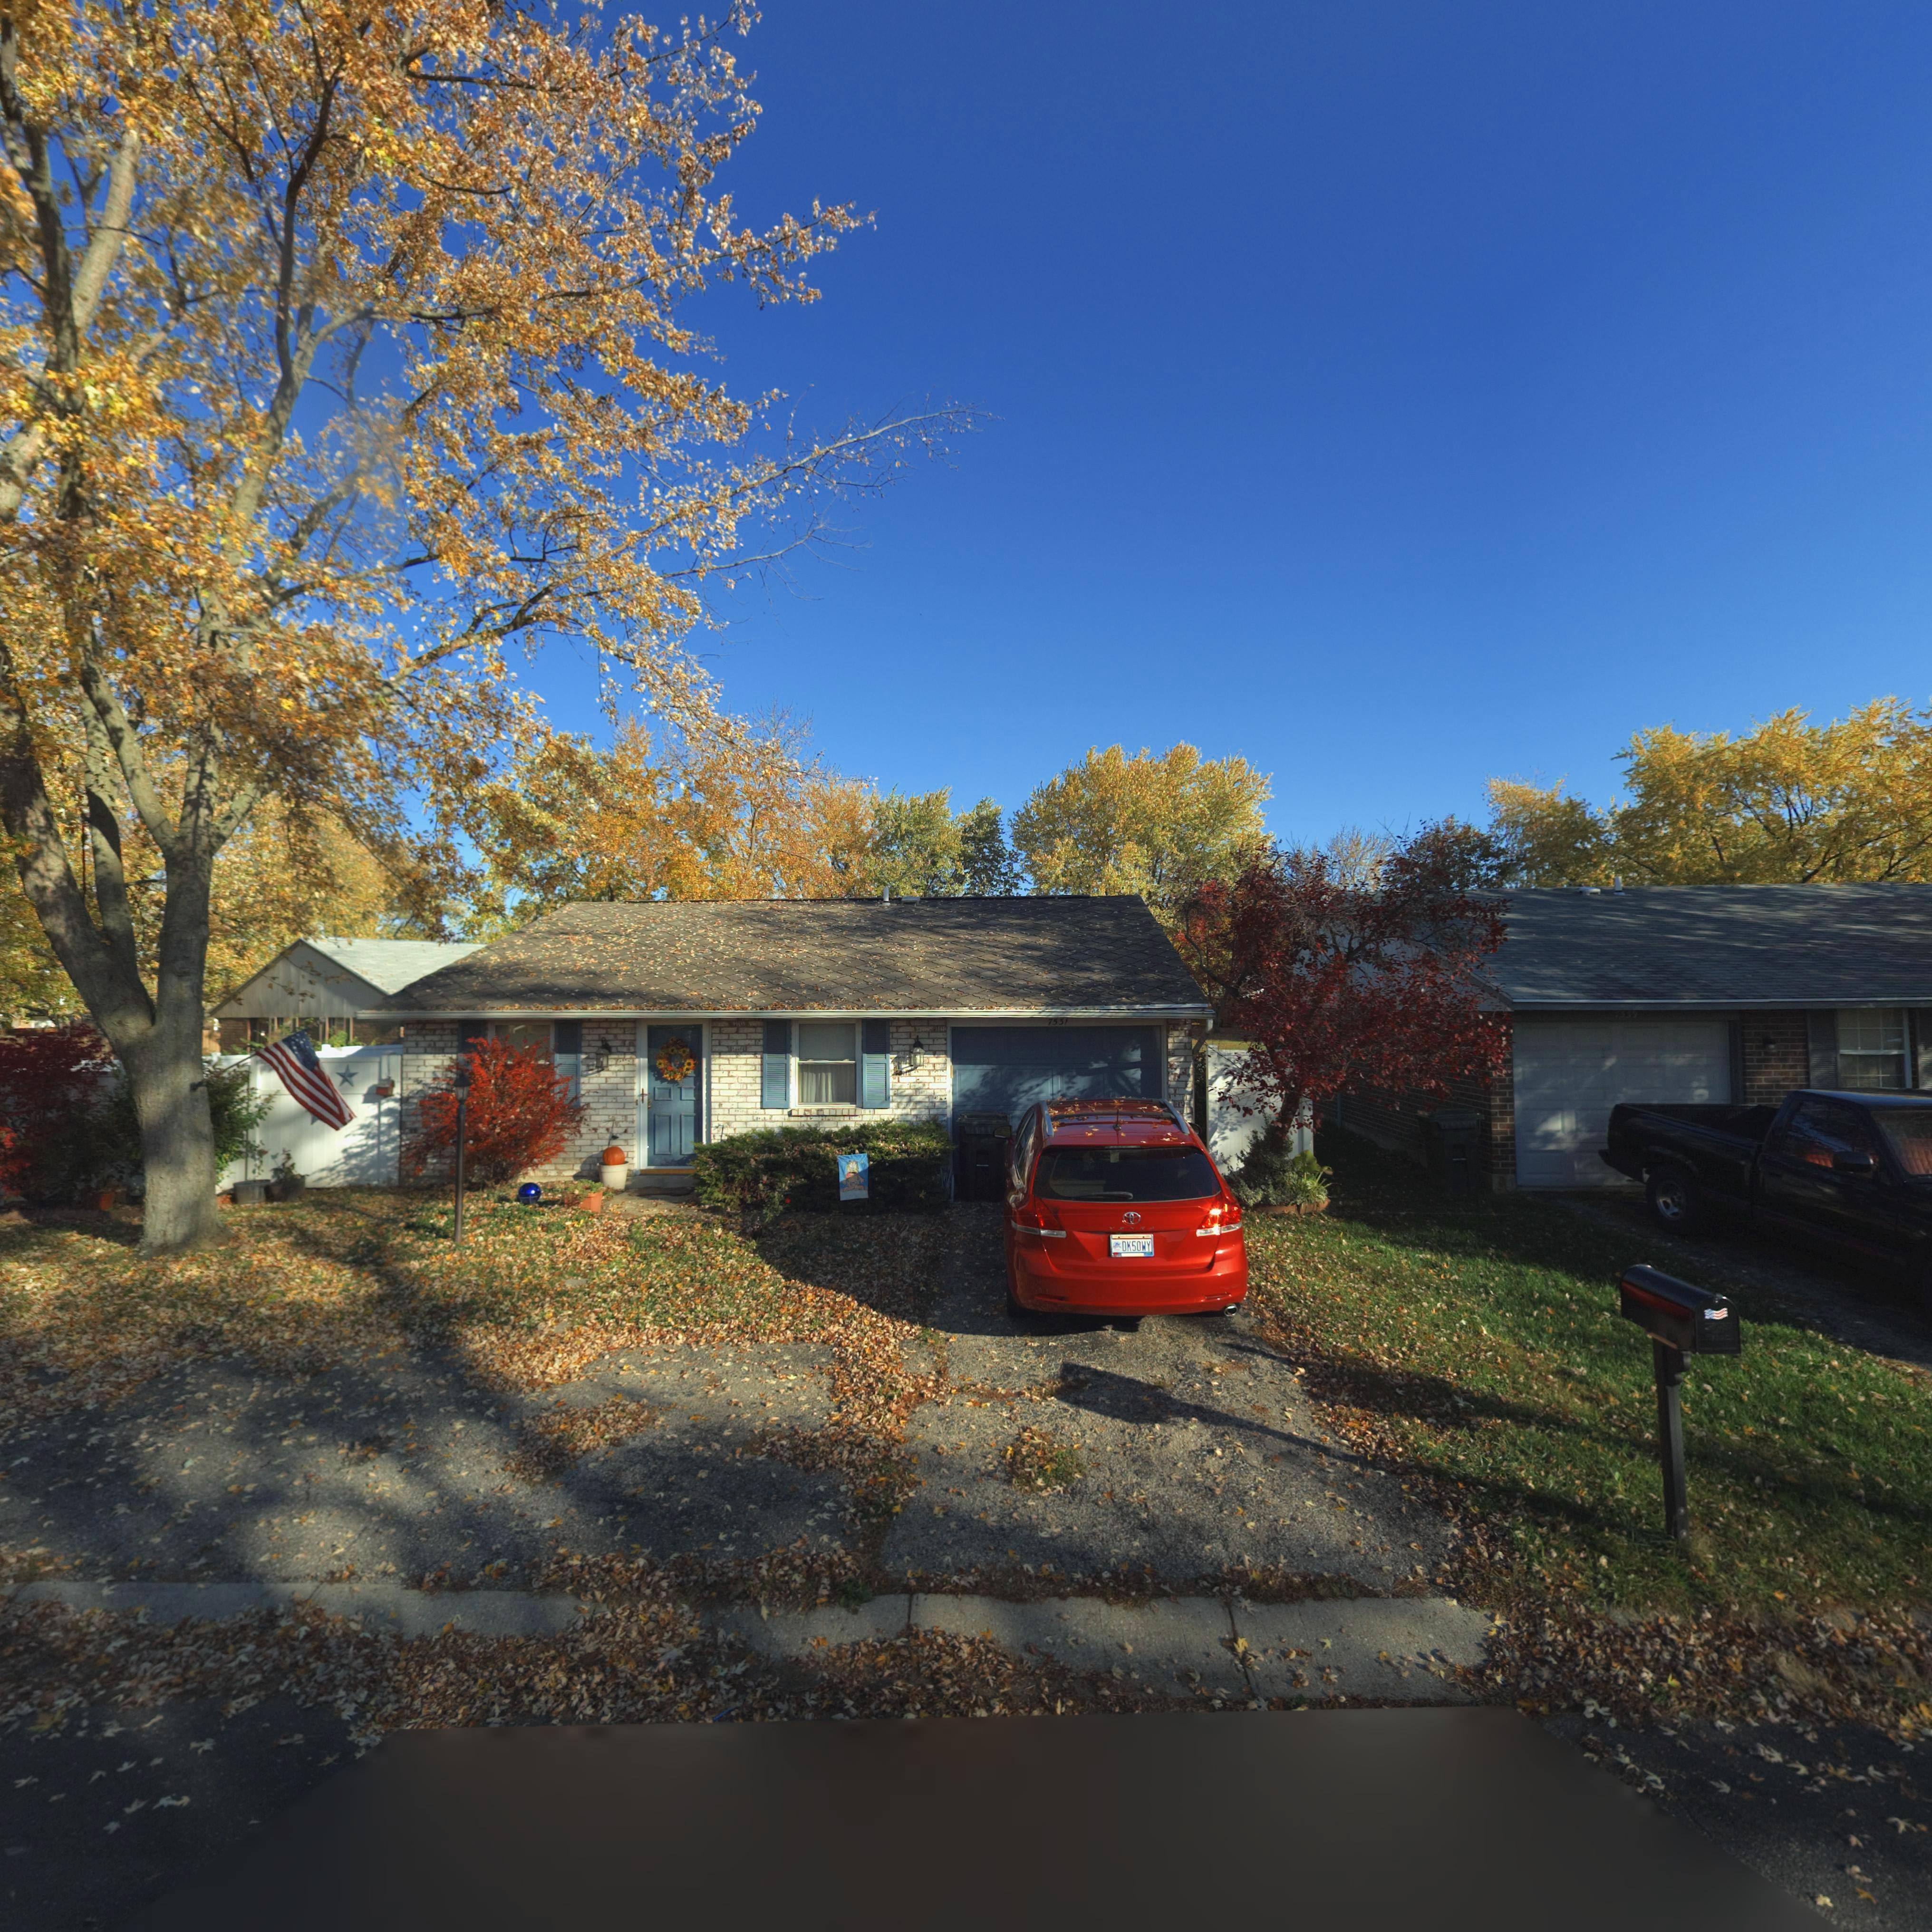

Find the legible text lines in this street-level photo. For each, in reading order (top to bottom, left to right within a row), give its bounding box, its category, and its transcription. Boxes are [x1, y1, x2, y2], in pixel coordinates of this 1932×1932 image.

[1611, 1008, 1643, 1022] StreetNumber: 75*9
[1046, 1017, 1070, 1026] StreetNumber: 7531
[1121, 1240, 1151, 1253] None: DK50OWY